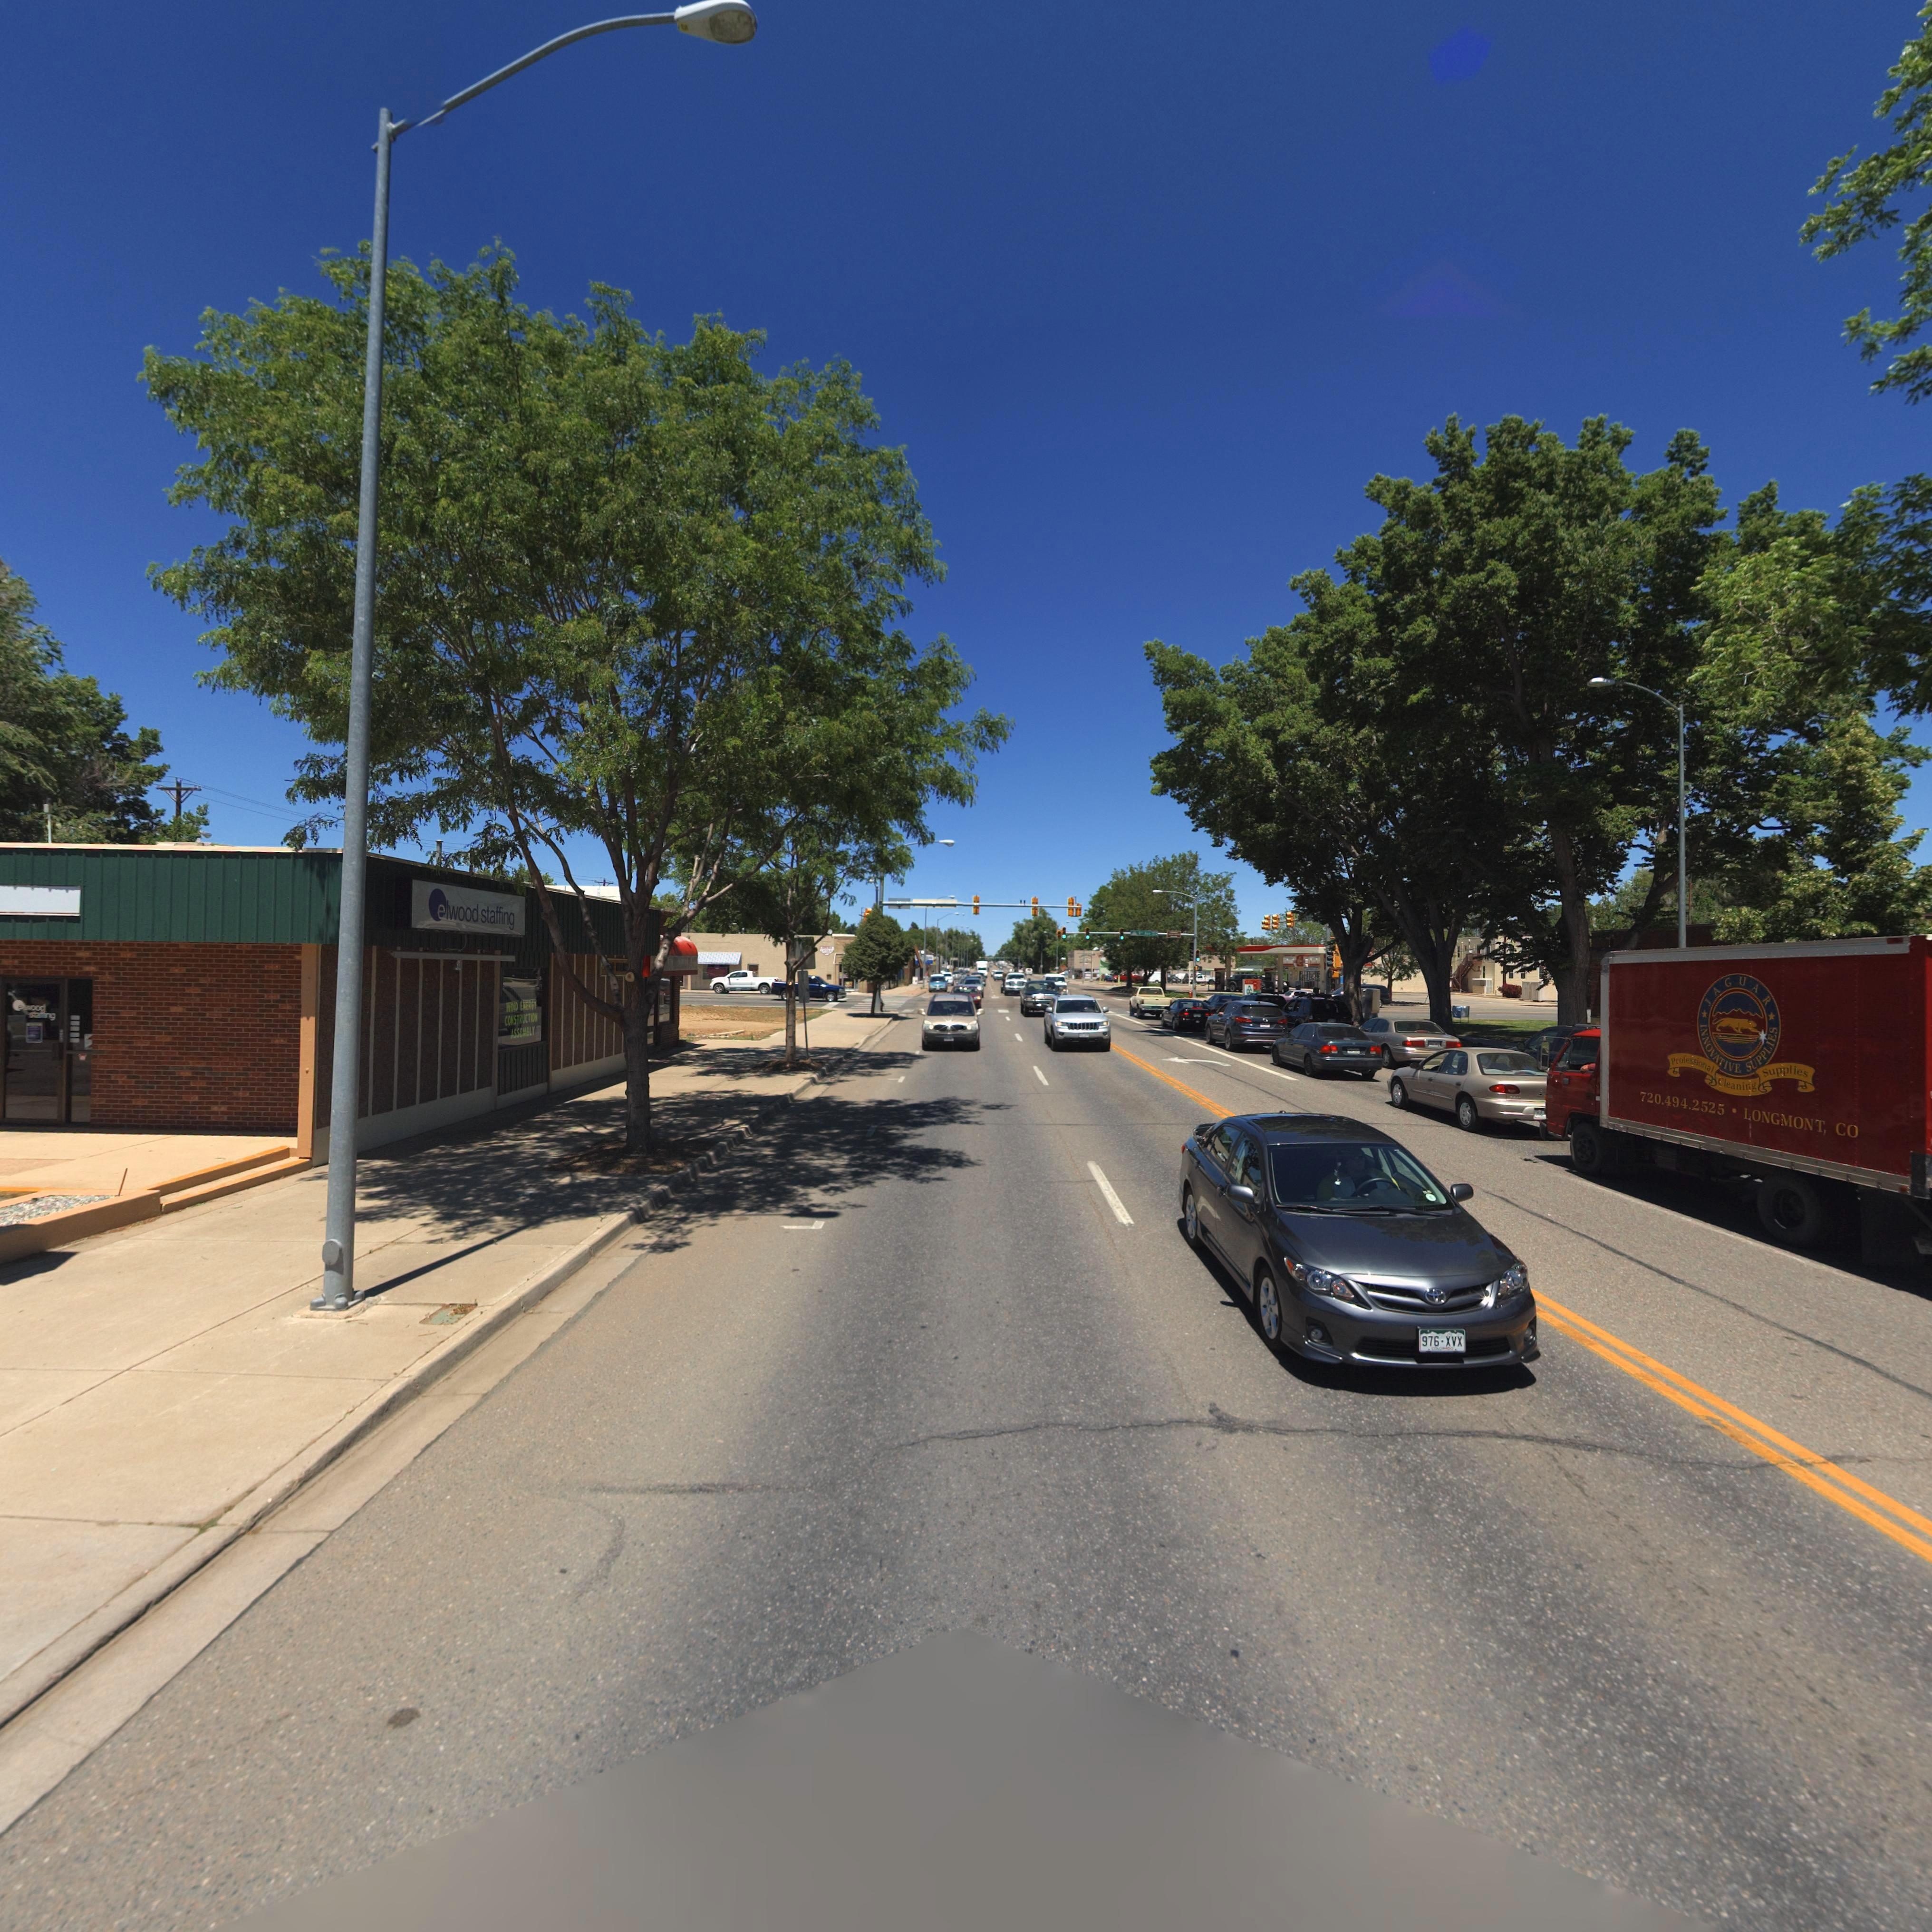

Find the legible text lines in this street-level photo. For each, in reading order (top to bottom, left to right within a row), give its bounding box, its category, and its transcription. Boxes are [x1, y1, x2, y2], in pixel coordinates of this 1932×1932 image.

[436, 899, 514, 930] BusinessName: elwood staffing
[1138, 931, 1151, 935] StreetName: 9** A**
[17, 1002, 46, 1011] BusinessName: elwood
[29, 1010, 56, 1021] BusinessName: staf**ng